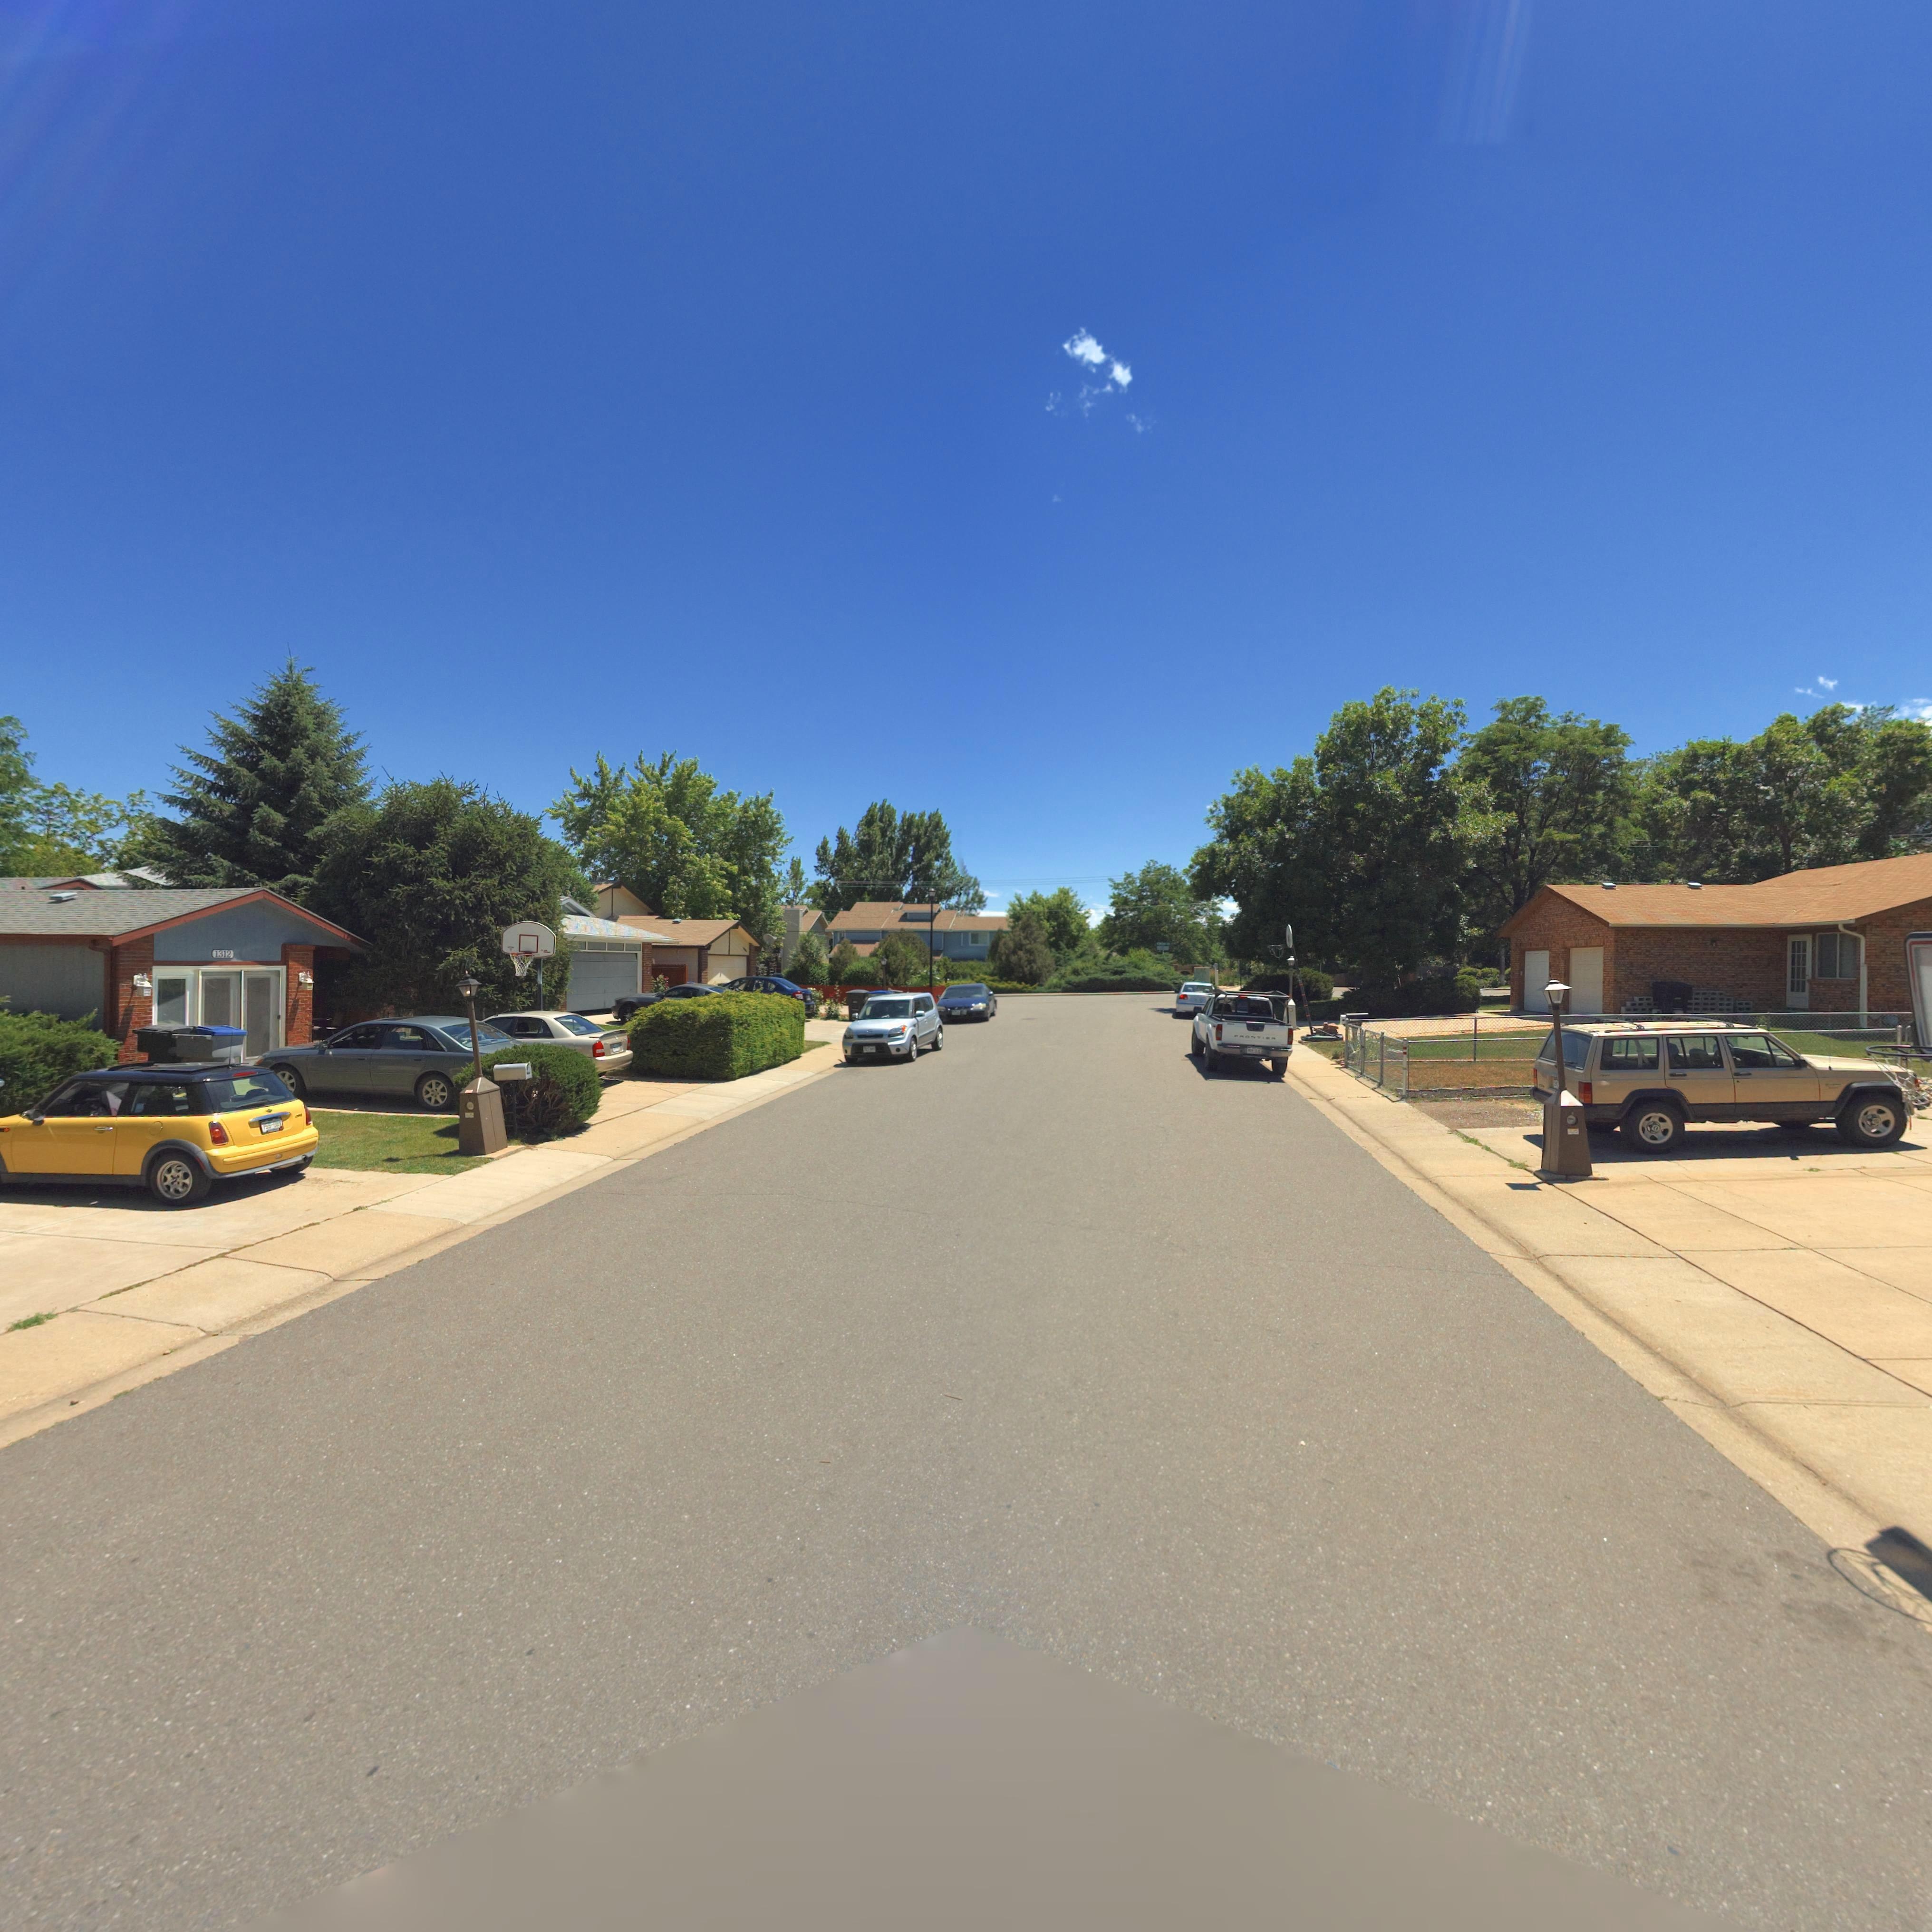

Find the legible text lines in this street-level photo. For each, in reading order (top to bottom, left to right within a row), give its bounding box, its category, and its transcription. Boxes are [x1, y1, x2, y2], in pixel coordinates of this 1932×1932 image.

[215, 950, 231, 957] StreetNumber: 1312